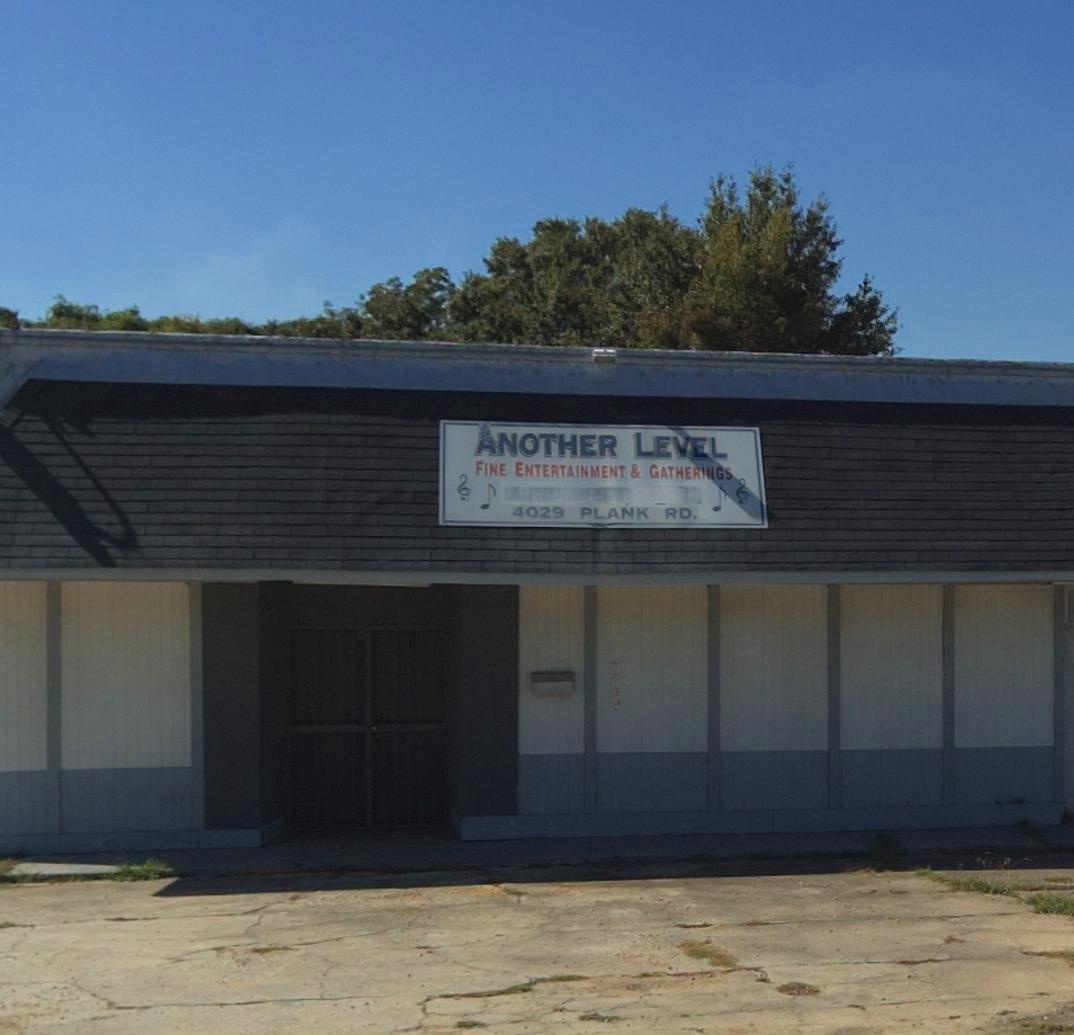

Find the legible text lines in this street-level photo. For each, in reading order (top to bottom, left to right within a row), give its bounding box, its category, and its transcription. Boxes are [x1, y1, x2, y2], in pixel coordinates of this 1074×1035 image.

[474, 428, 730, 460] BusinessName: *NOTHER LEVEL
[474, 459, 735, 481] BusinessName: FINE ENTERTAINMENT & GATHERINGS
[511, 505, 565, 520] StreetNumber: 4029
[578, 505, 693, 521] StreetName: PLANK RD